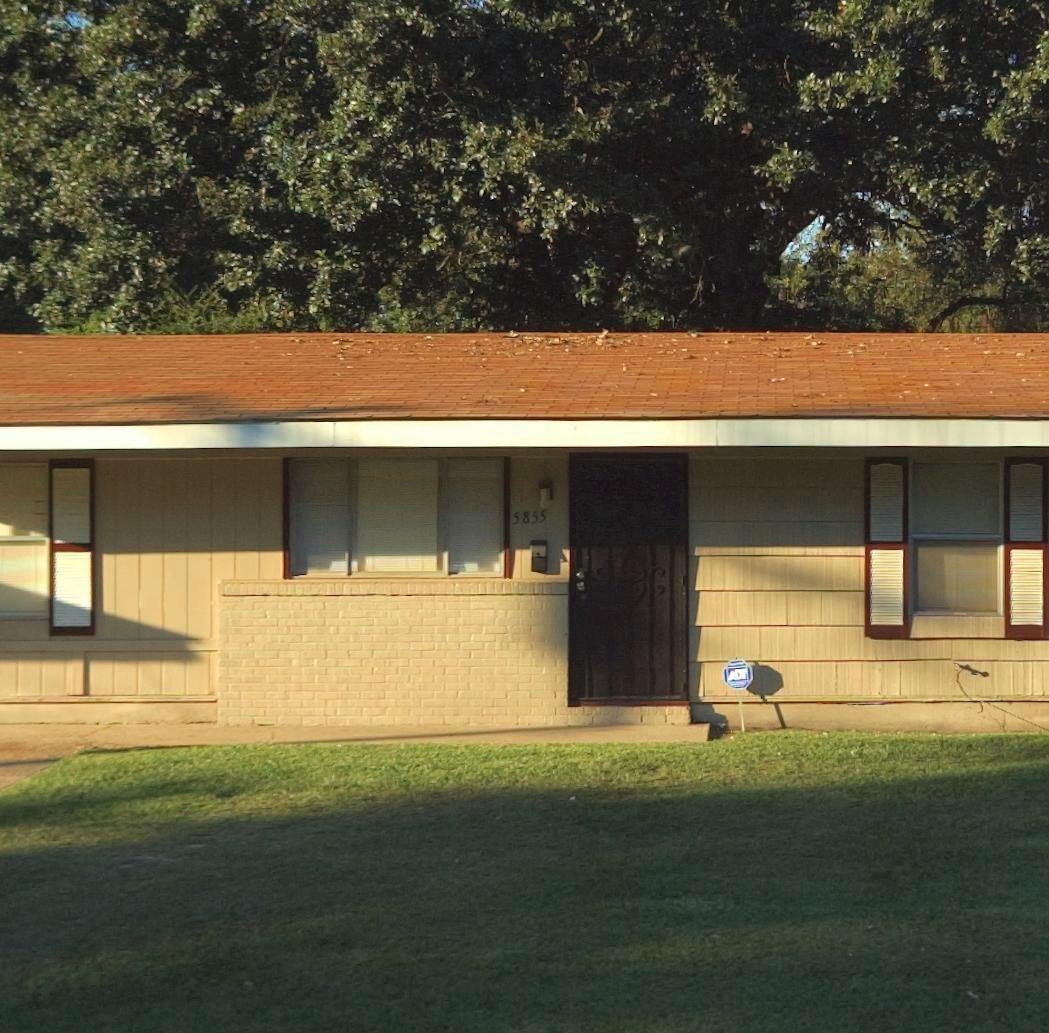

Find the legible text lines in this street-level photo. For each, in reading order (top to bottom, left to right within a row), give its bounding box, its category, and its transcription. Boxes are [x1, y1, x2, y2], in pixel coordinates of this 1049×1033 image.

[511, 510, 548, 525] StreetNumber: 5855
[727, 668, 746, 682] None: ADT